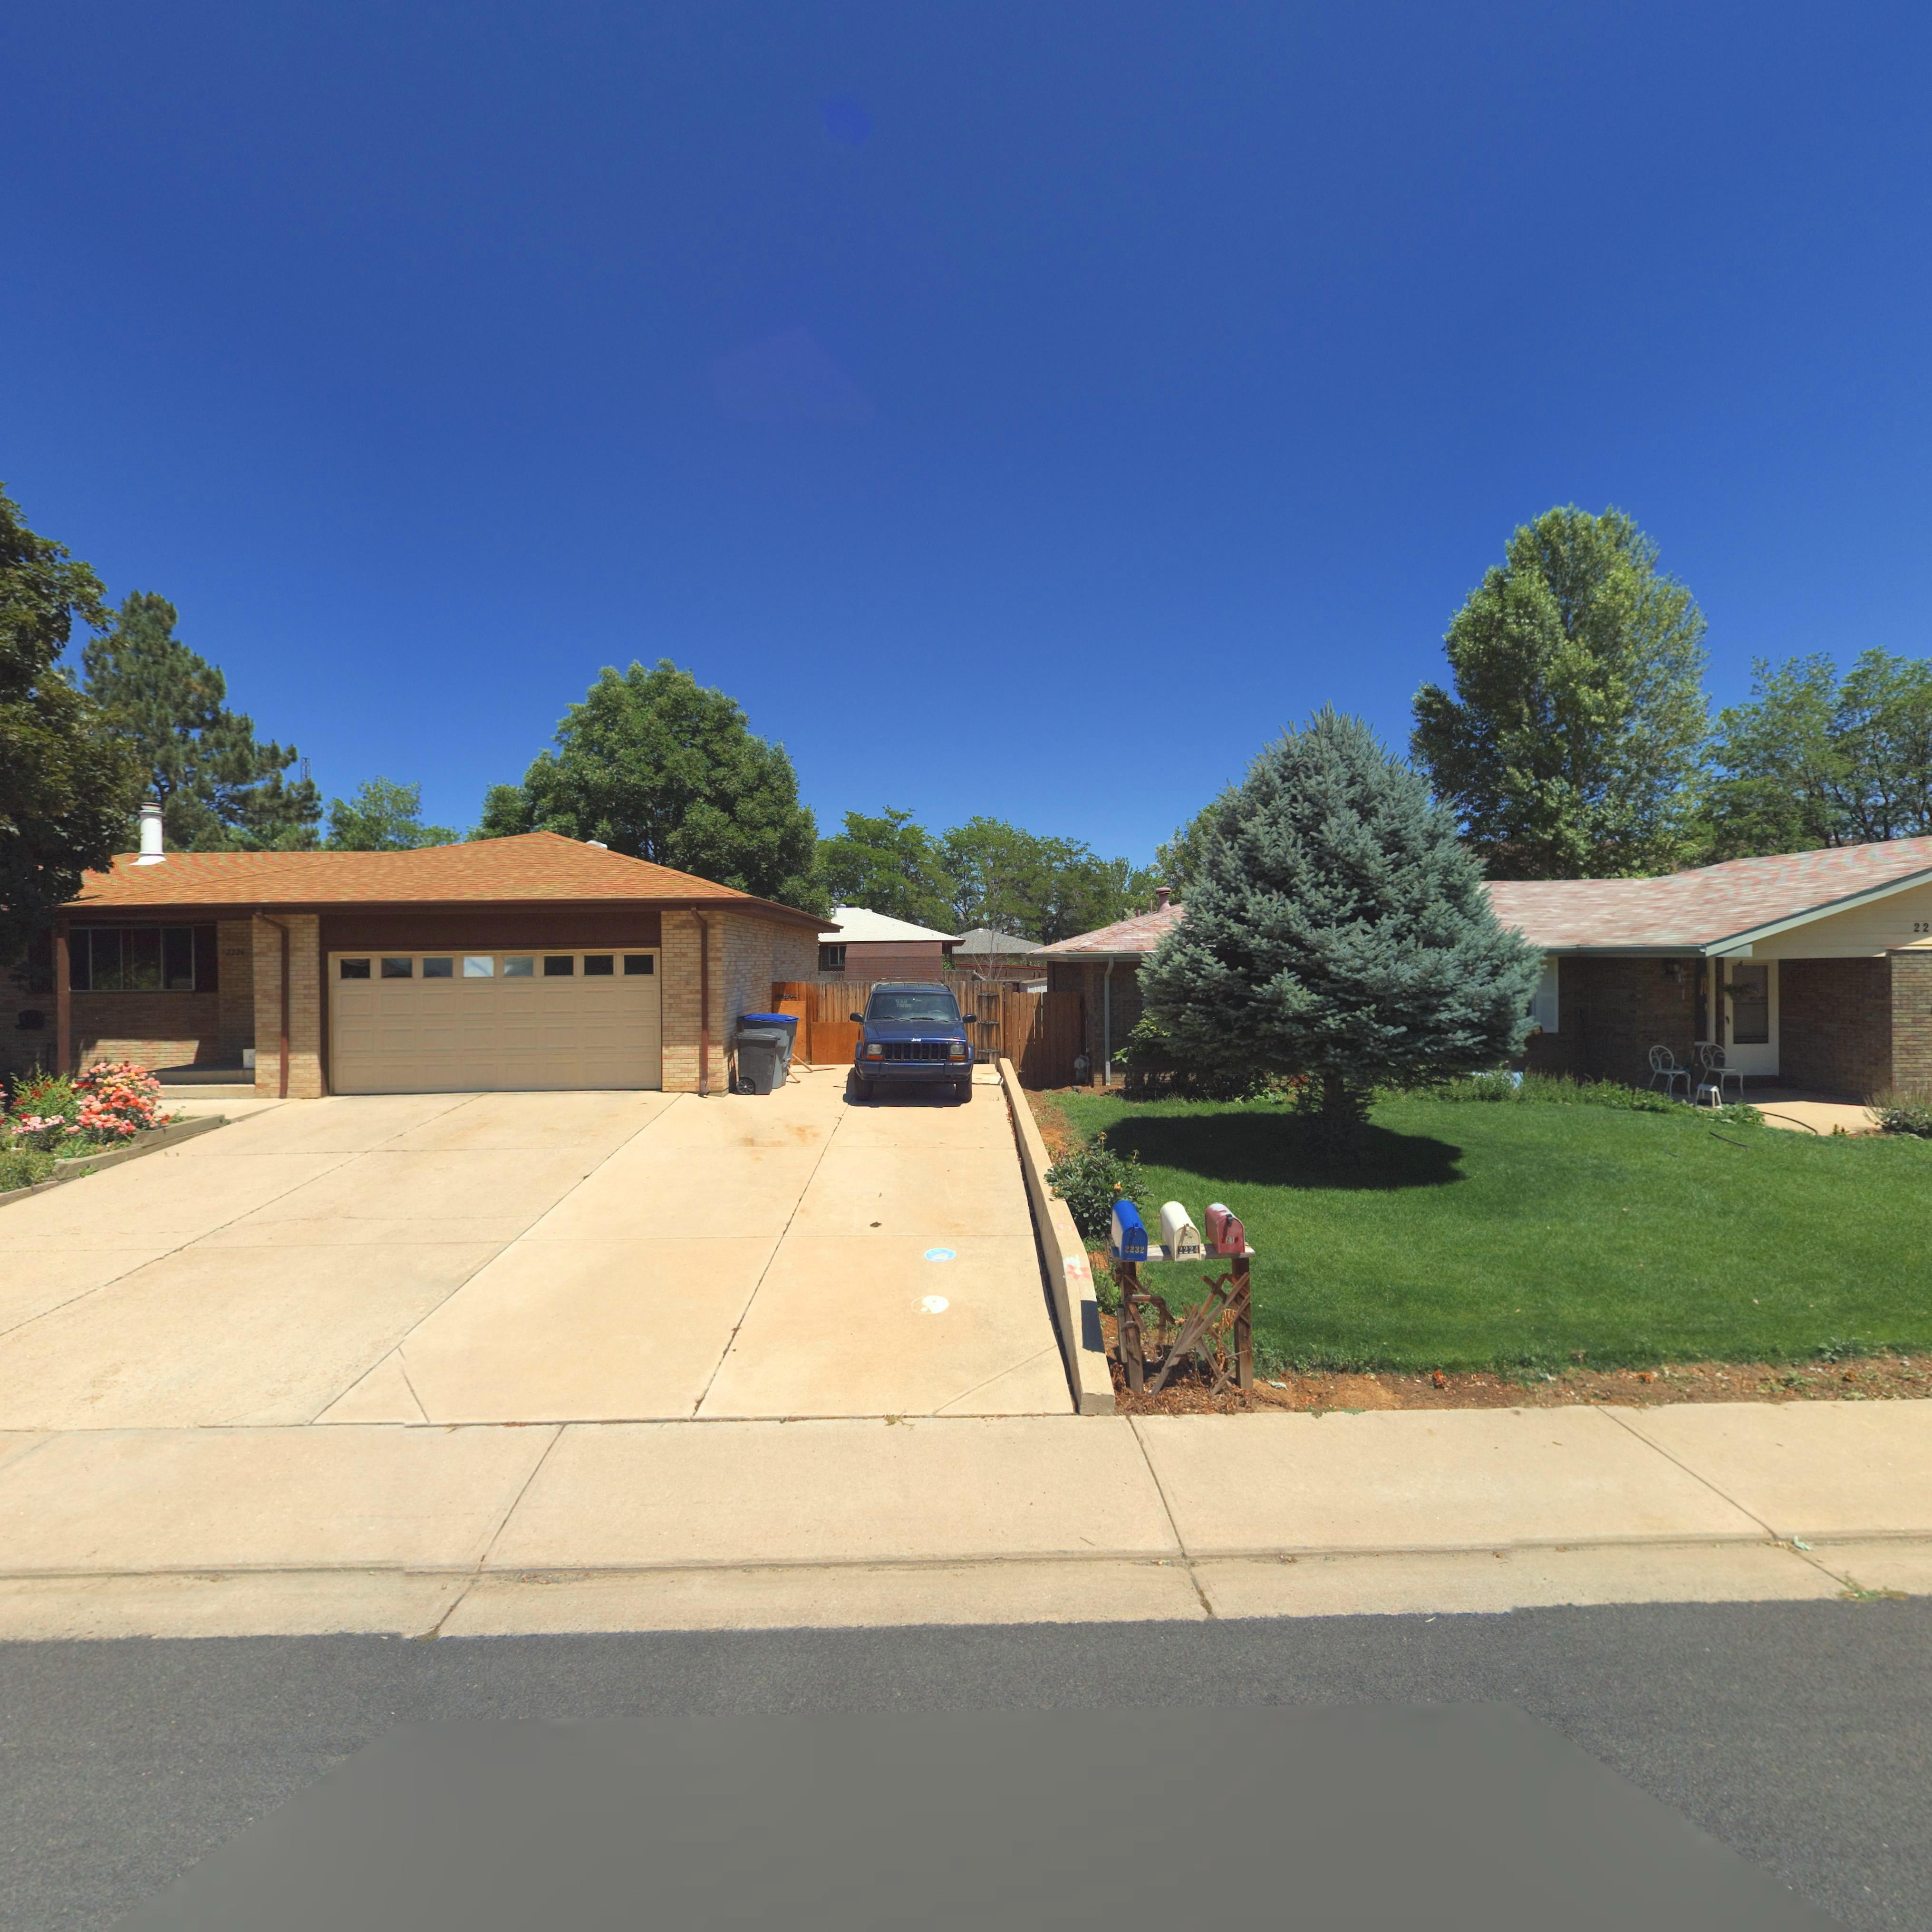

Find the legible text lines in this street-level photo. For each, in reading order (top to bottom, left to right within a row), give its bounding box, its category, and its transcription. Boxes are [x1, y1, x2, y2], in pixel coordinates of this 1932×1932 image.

[1913, 922, 1929, 932] StreetNumber: 22
[224, 948, 244, 956] StreetNumber: 2224
[1226, 1237, 1233, 1242] StreetNumber: 21
[1124, 1245, 1144, 1254] StreetNumber: 2232
[1178, 1245, 1198, 1254] StreetNumber: 2224